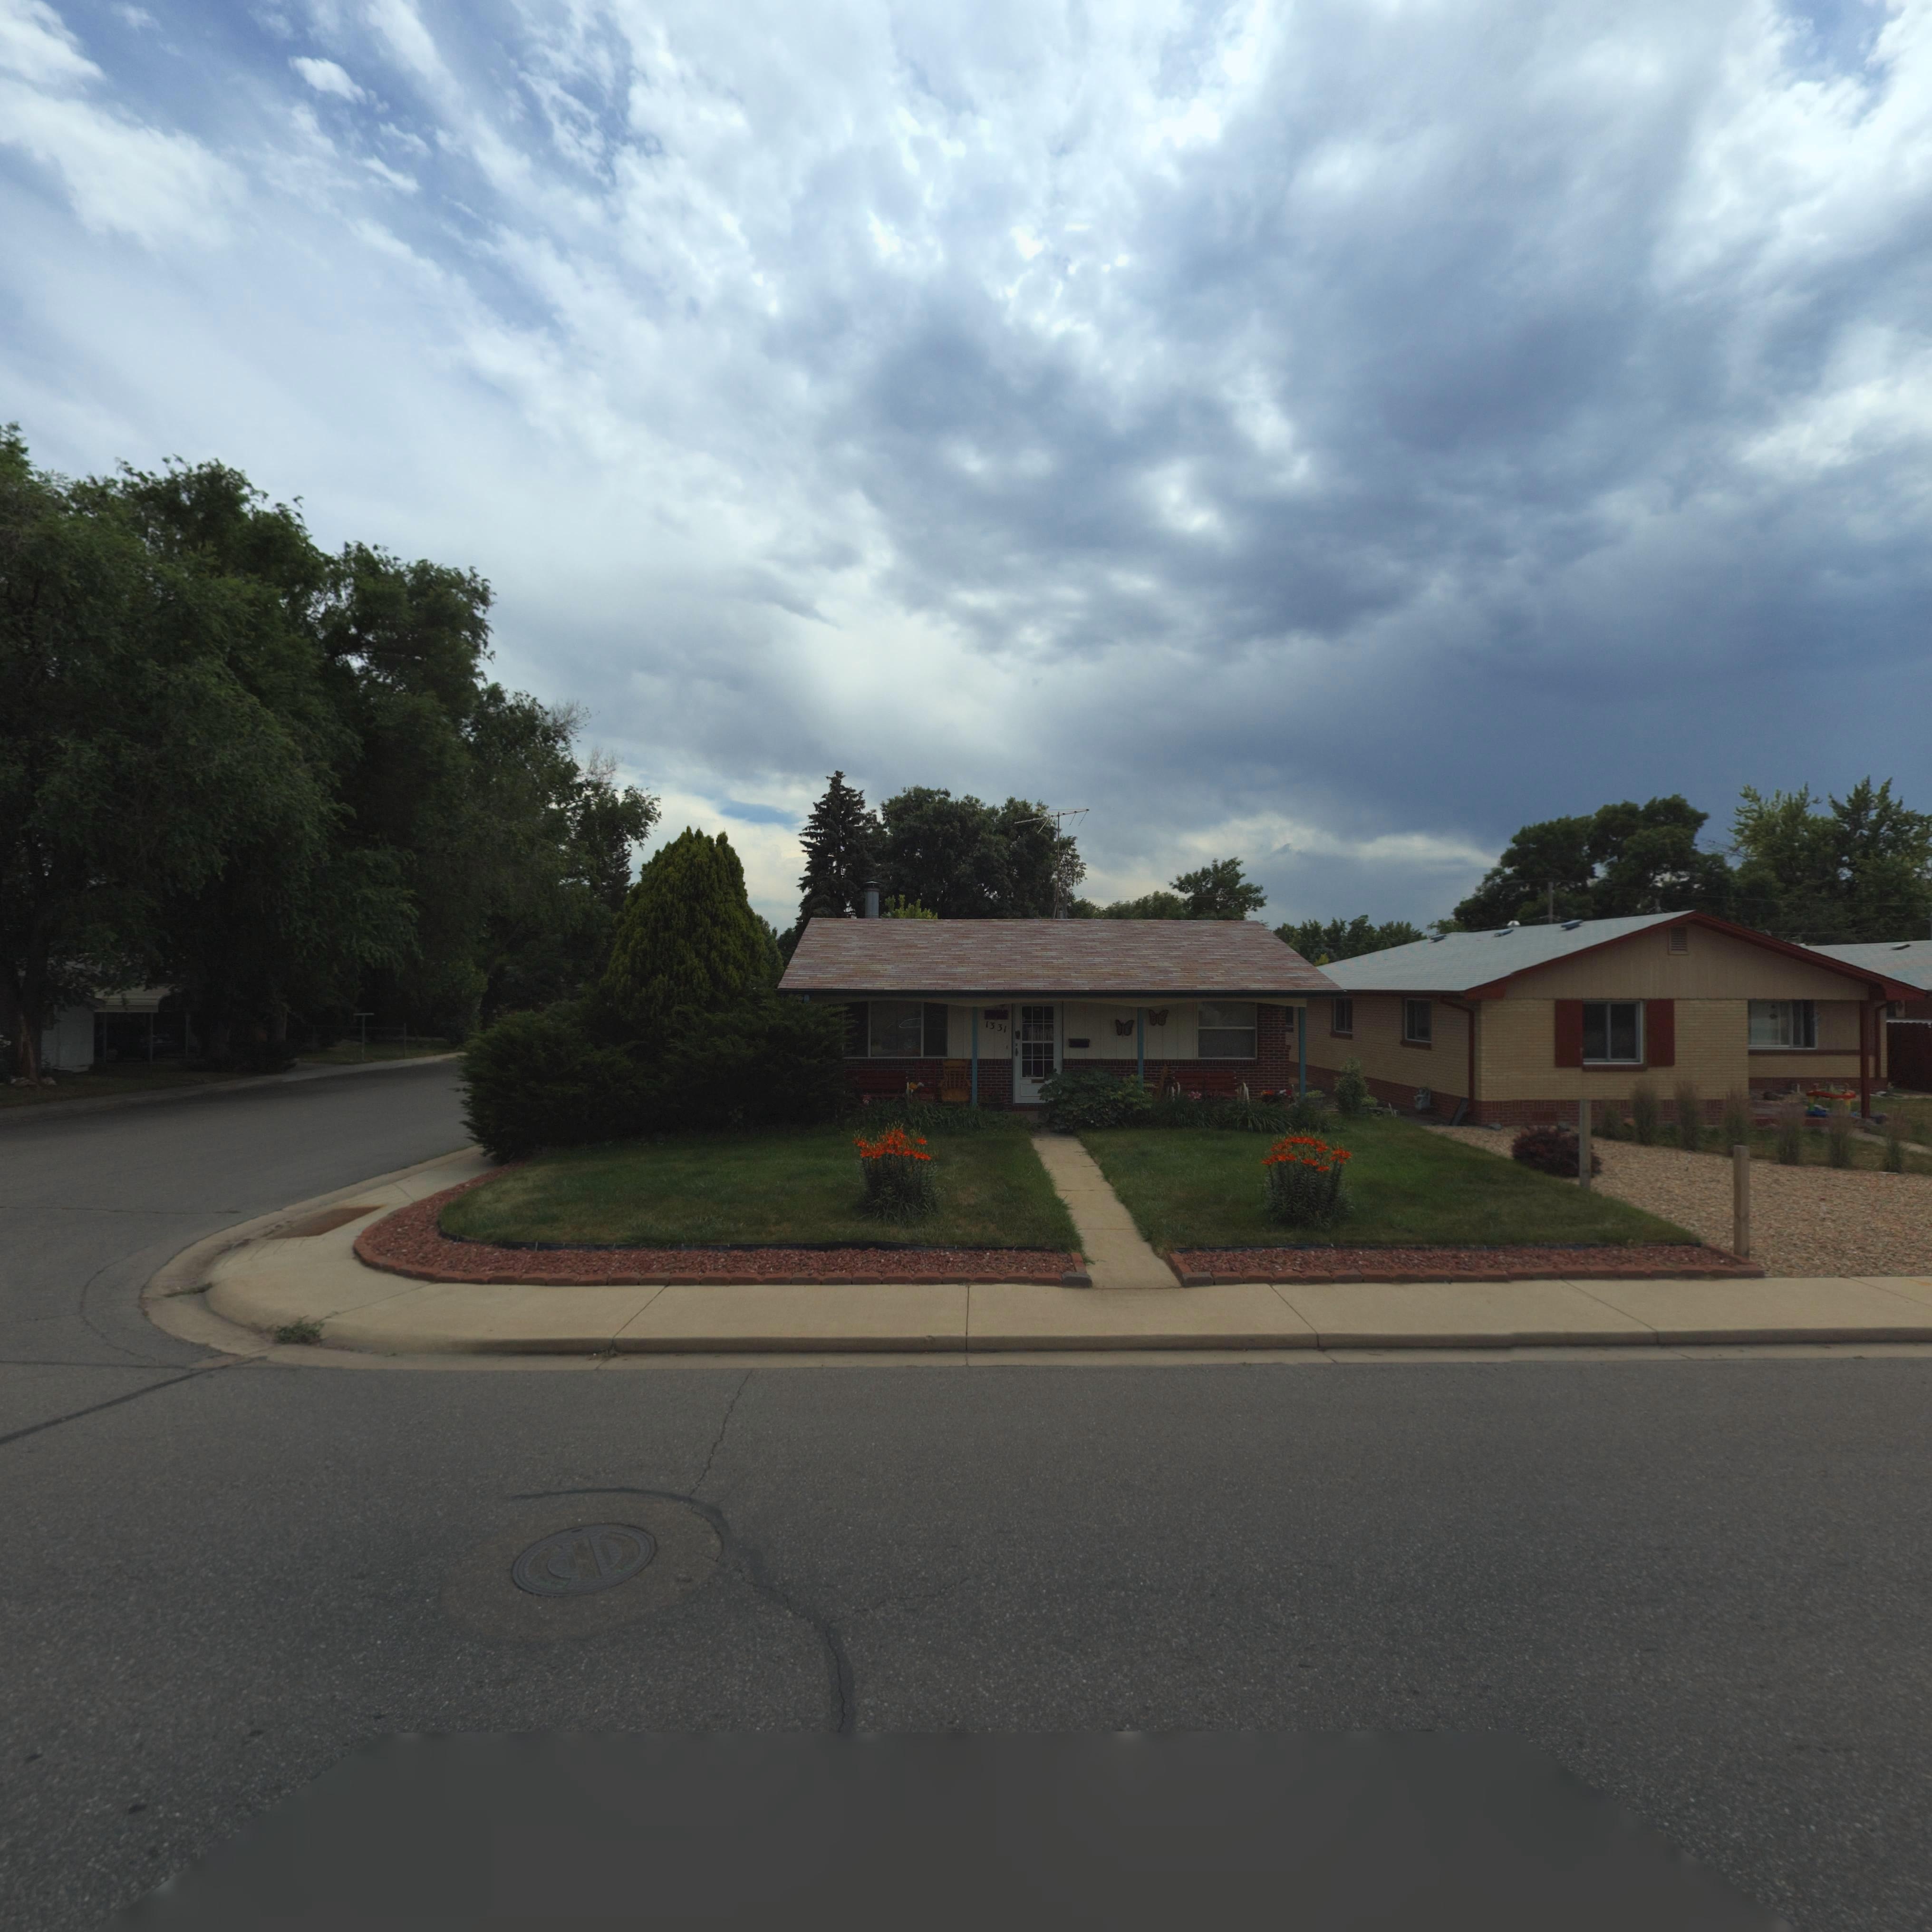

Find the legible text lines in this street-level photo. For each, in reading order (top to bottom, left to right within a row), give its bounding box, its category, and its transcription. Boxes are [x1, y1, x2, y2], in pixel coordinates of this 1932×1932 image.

[985, 1020, 1007, 1034] StreetNumber: 1331